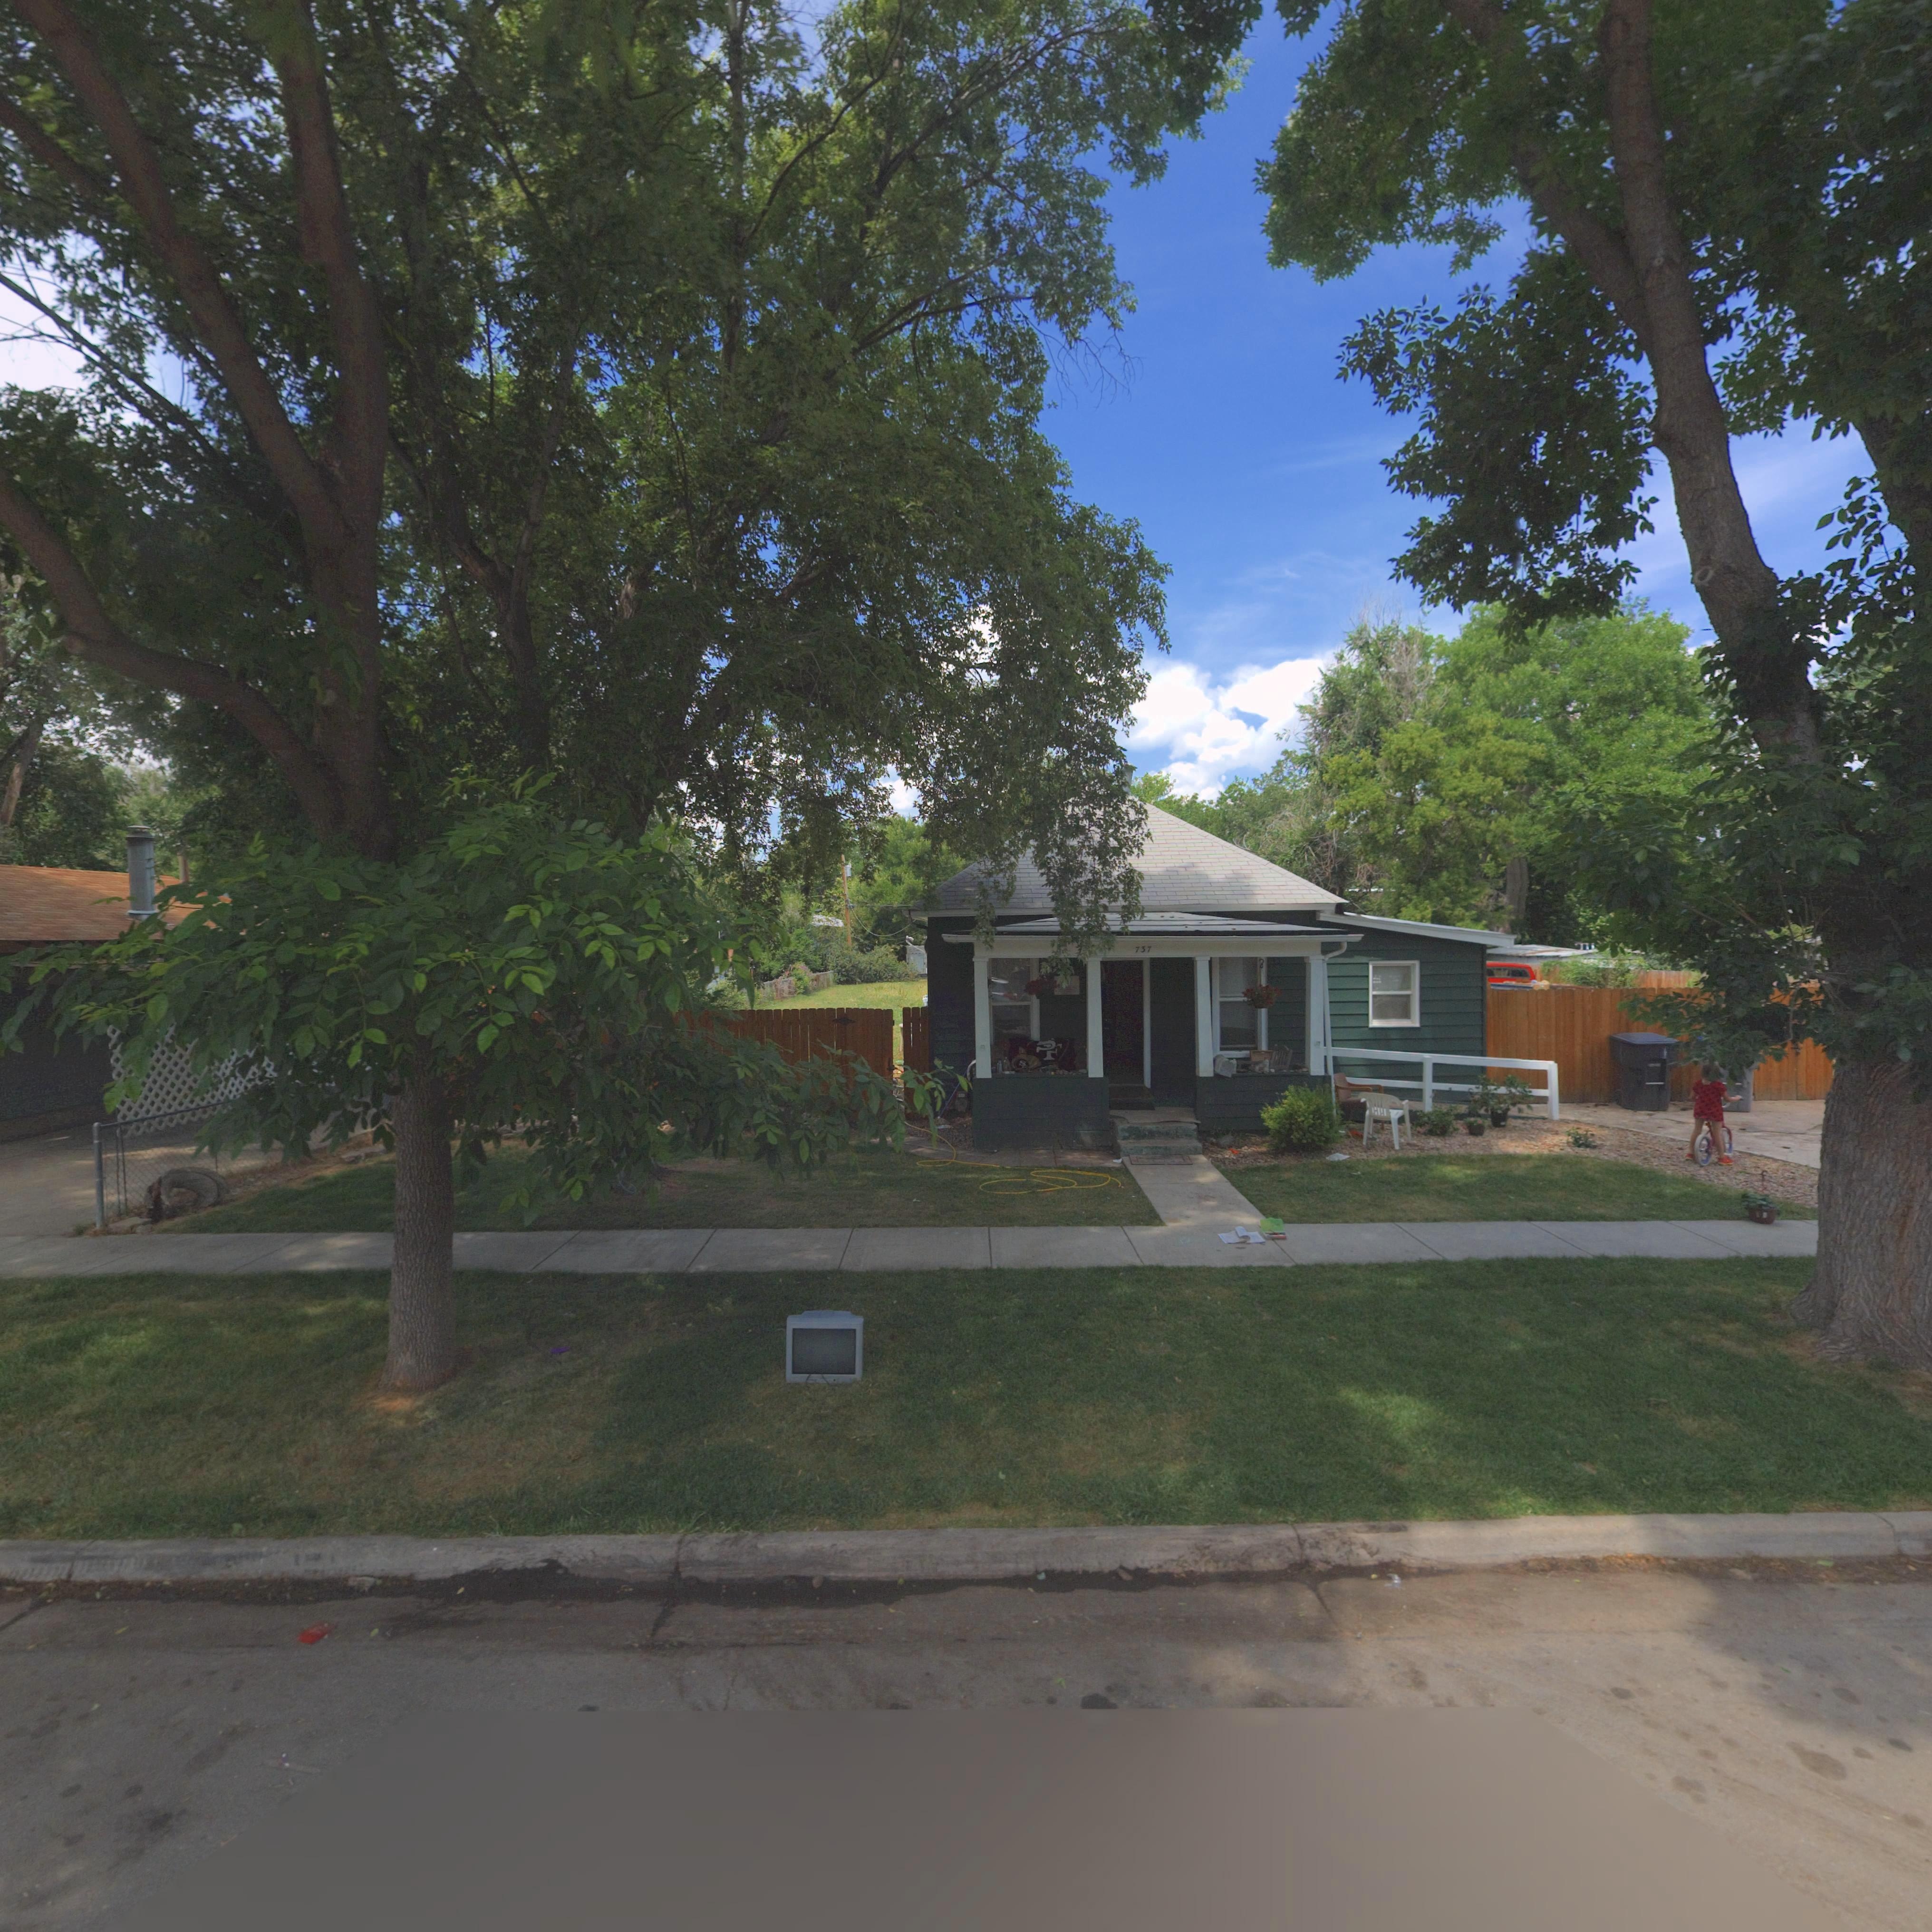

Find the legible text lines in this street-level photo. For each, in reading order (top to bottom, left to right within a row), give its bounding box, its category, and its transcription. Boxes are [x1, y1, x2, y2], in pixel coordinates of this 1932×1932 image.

[1135, 945, 1152, 953] StreetNumber: 737